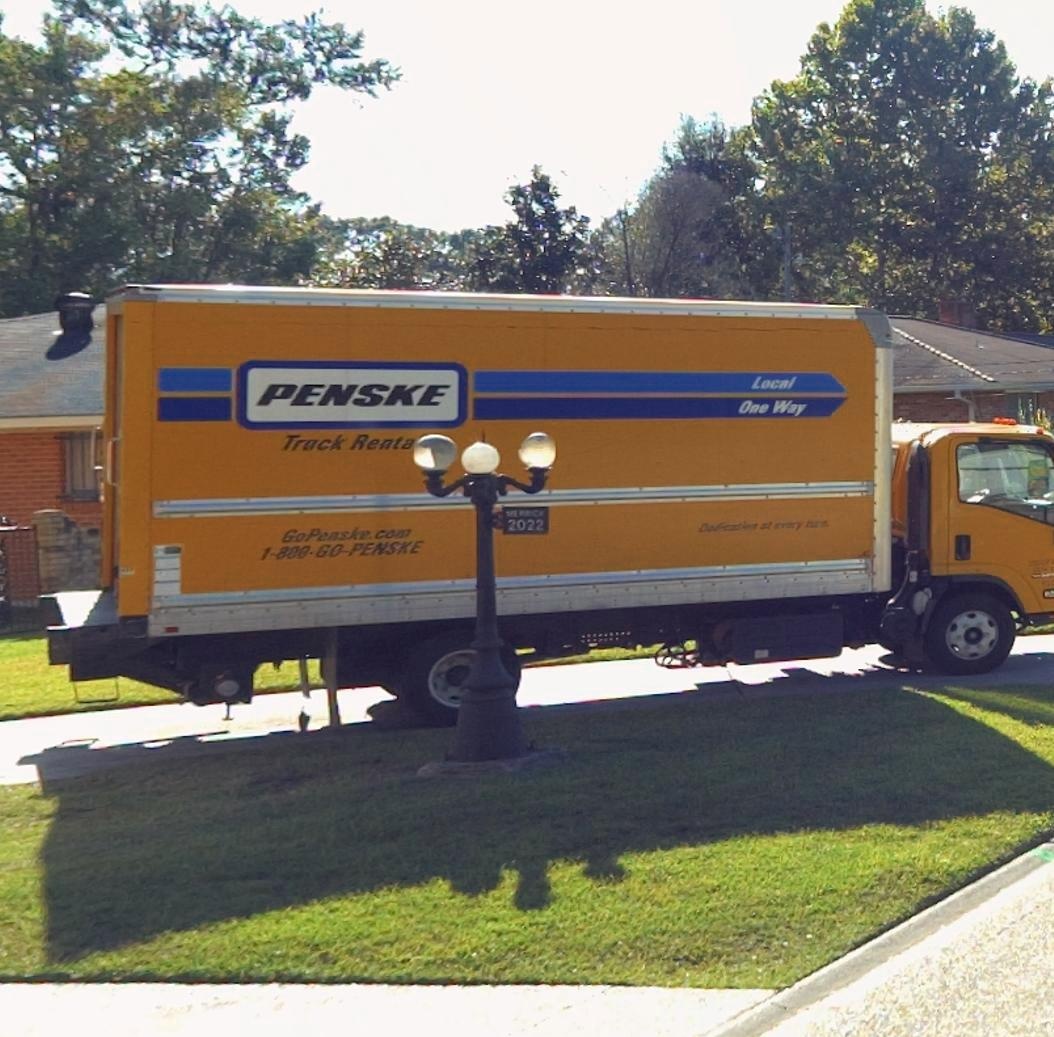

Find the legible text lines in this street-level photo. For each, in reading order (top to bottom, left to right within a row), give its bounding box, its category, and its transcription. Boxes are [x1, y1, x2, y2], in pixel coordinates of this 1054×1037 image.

[748, 374, 801, 391] None: Local
[253, 381, 454, 407] None: PENSKE
[735, 397, 813, 418] None: One Way
[278, 433, 418, 452] None: Truck Renta
[277, 526, 415, 543] None: GoPenske.com
[506, 517, 547, 532] StreetNumber: 2022
[758, 519, 808, 532] None: at every
[258, 539, 426, 561] None: 1-800*GO-PENSKE